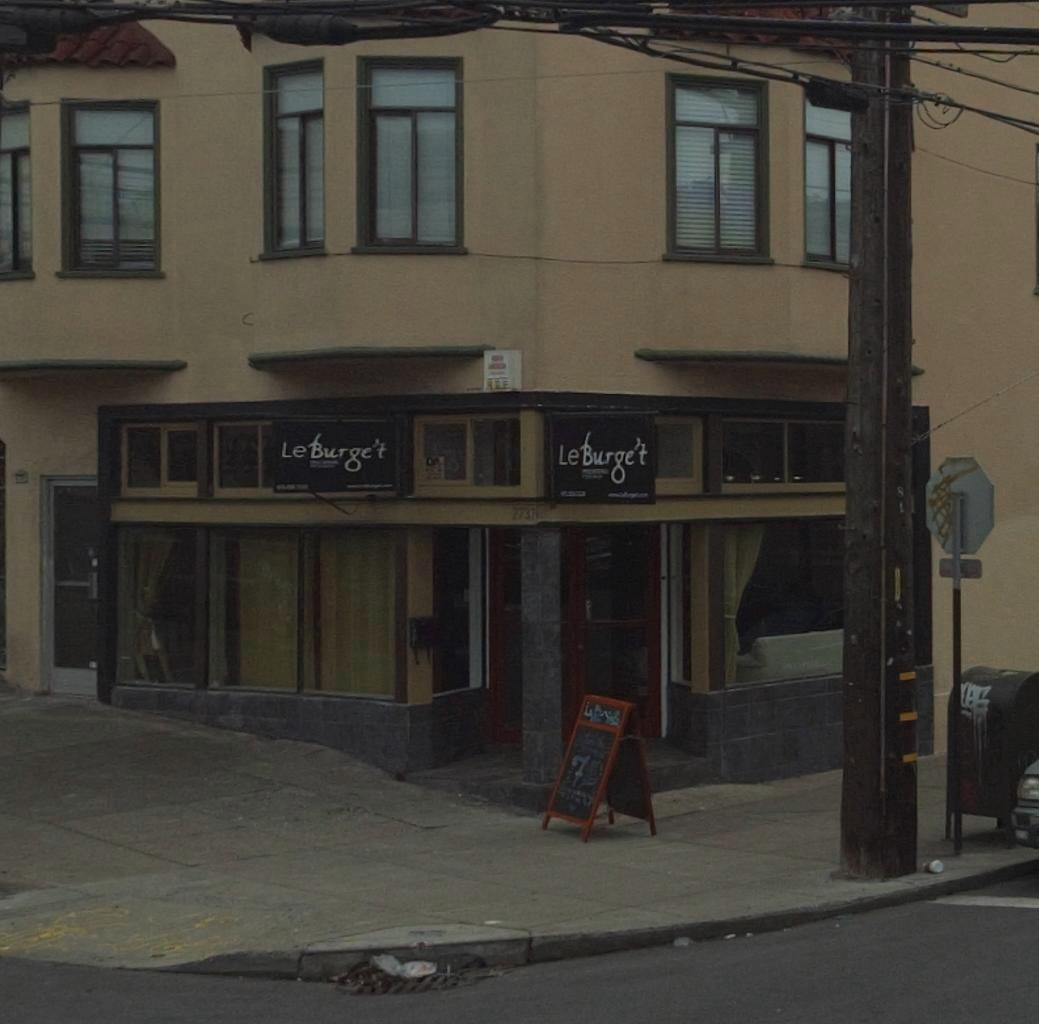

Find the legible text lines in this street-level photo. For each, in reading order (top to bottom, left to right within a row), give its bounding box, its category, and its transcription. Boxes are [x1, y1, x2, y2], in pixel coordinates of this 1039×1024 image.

[280, 431, 390, 474] BusinessName: LeBurge't
[557, 430, 651, 486] BusinessName: LeBurge't
[509, 506, 537, 522] StreetNumber: 2737
[896, 486, 906, 514] None: 81
[570, 753, 593, 789] None: 7